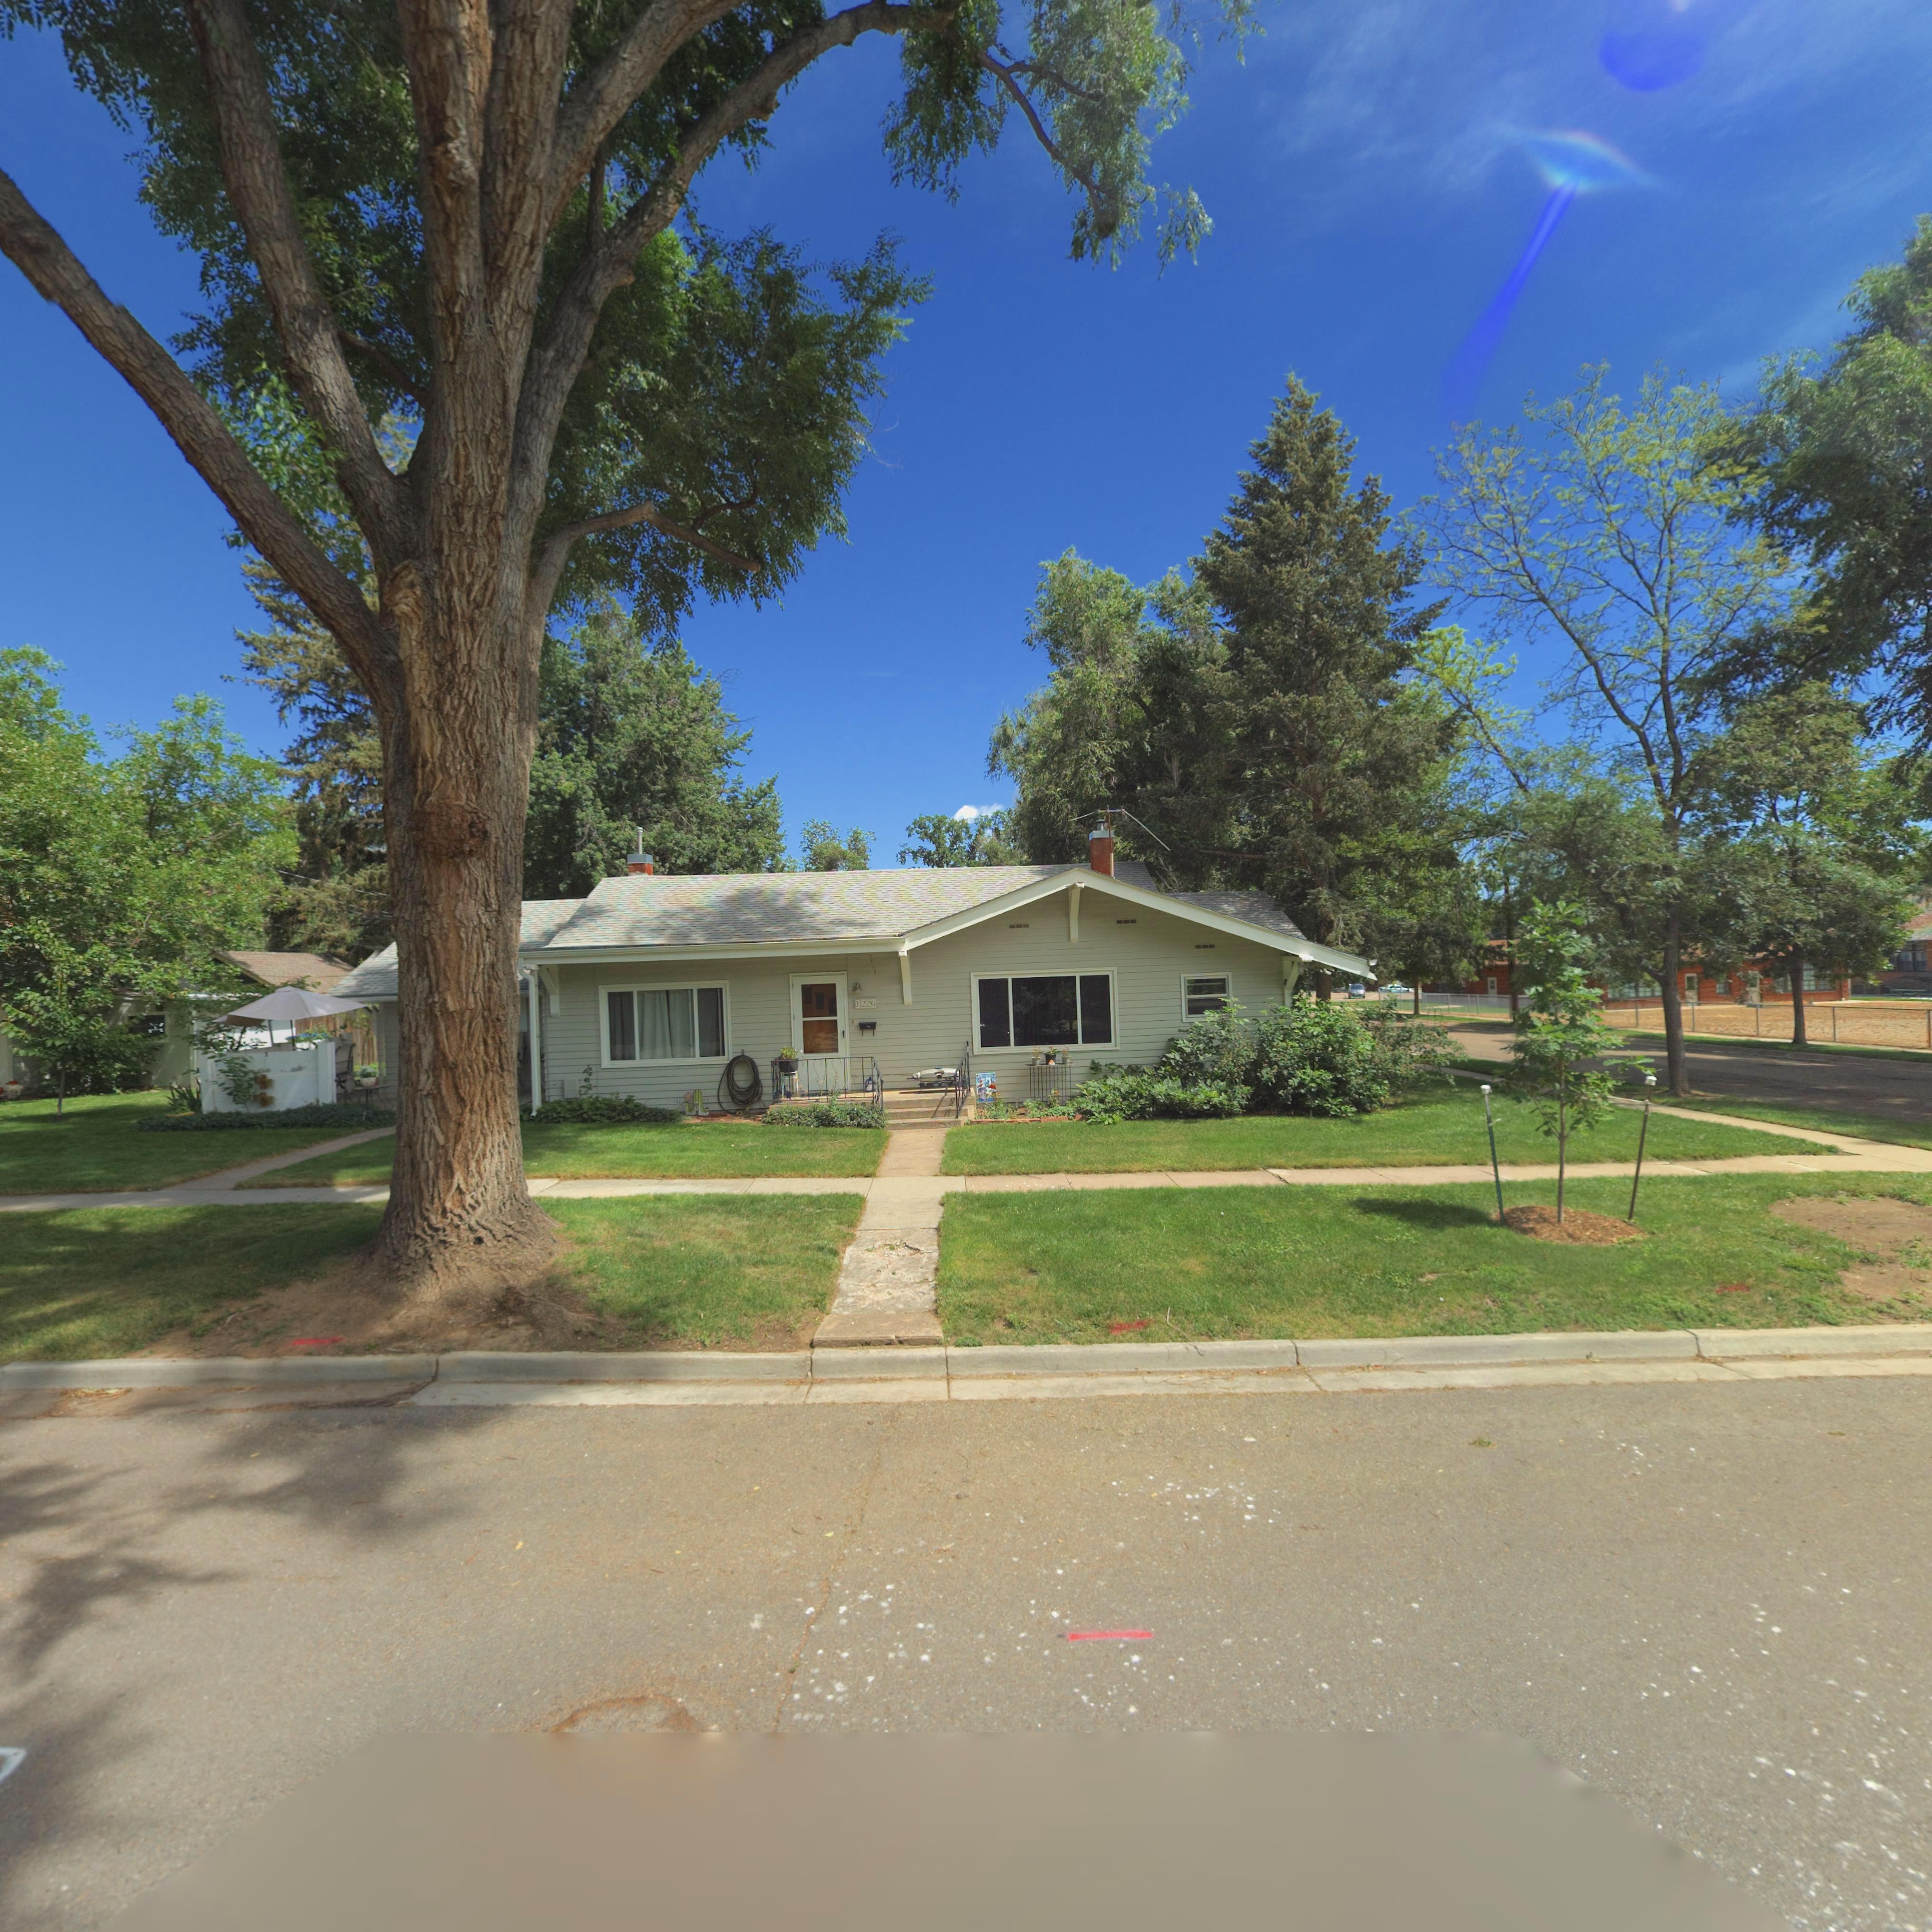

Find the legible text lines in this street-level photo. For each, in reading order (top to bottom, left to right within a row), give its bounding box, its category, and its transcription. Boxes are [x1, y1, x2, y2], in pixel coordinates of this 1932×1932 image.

[856, 1000, 875, 1007] StreetNumber: 1226